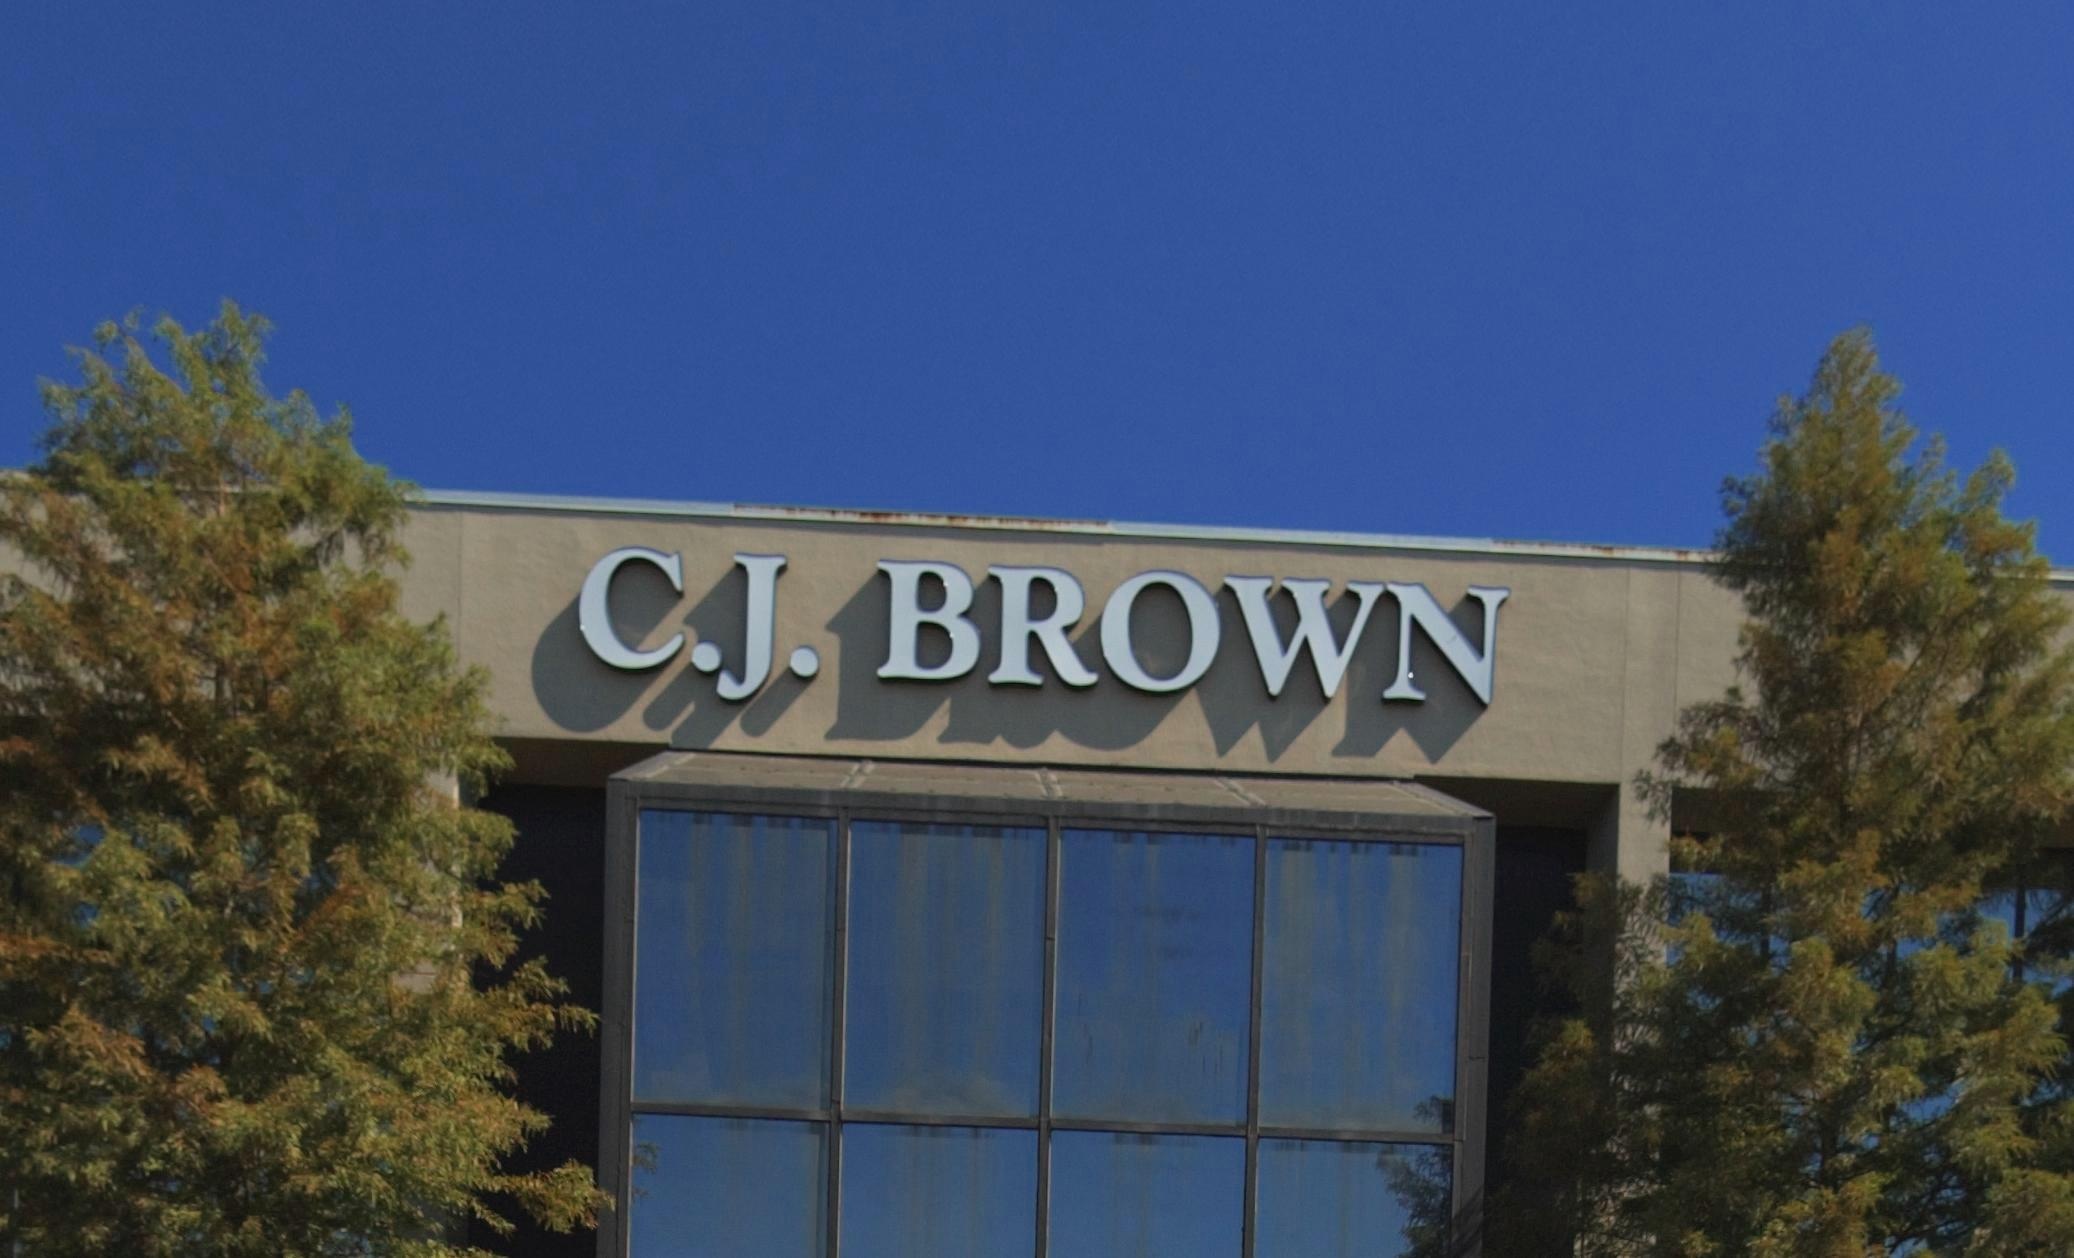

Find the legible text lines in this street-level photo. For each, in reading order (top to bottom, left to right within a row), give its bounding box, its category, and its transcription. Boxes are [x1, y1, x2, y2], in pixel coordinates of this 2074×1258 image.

[571, 538, 1518, 713] BusinessName: C.J. BROWN